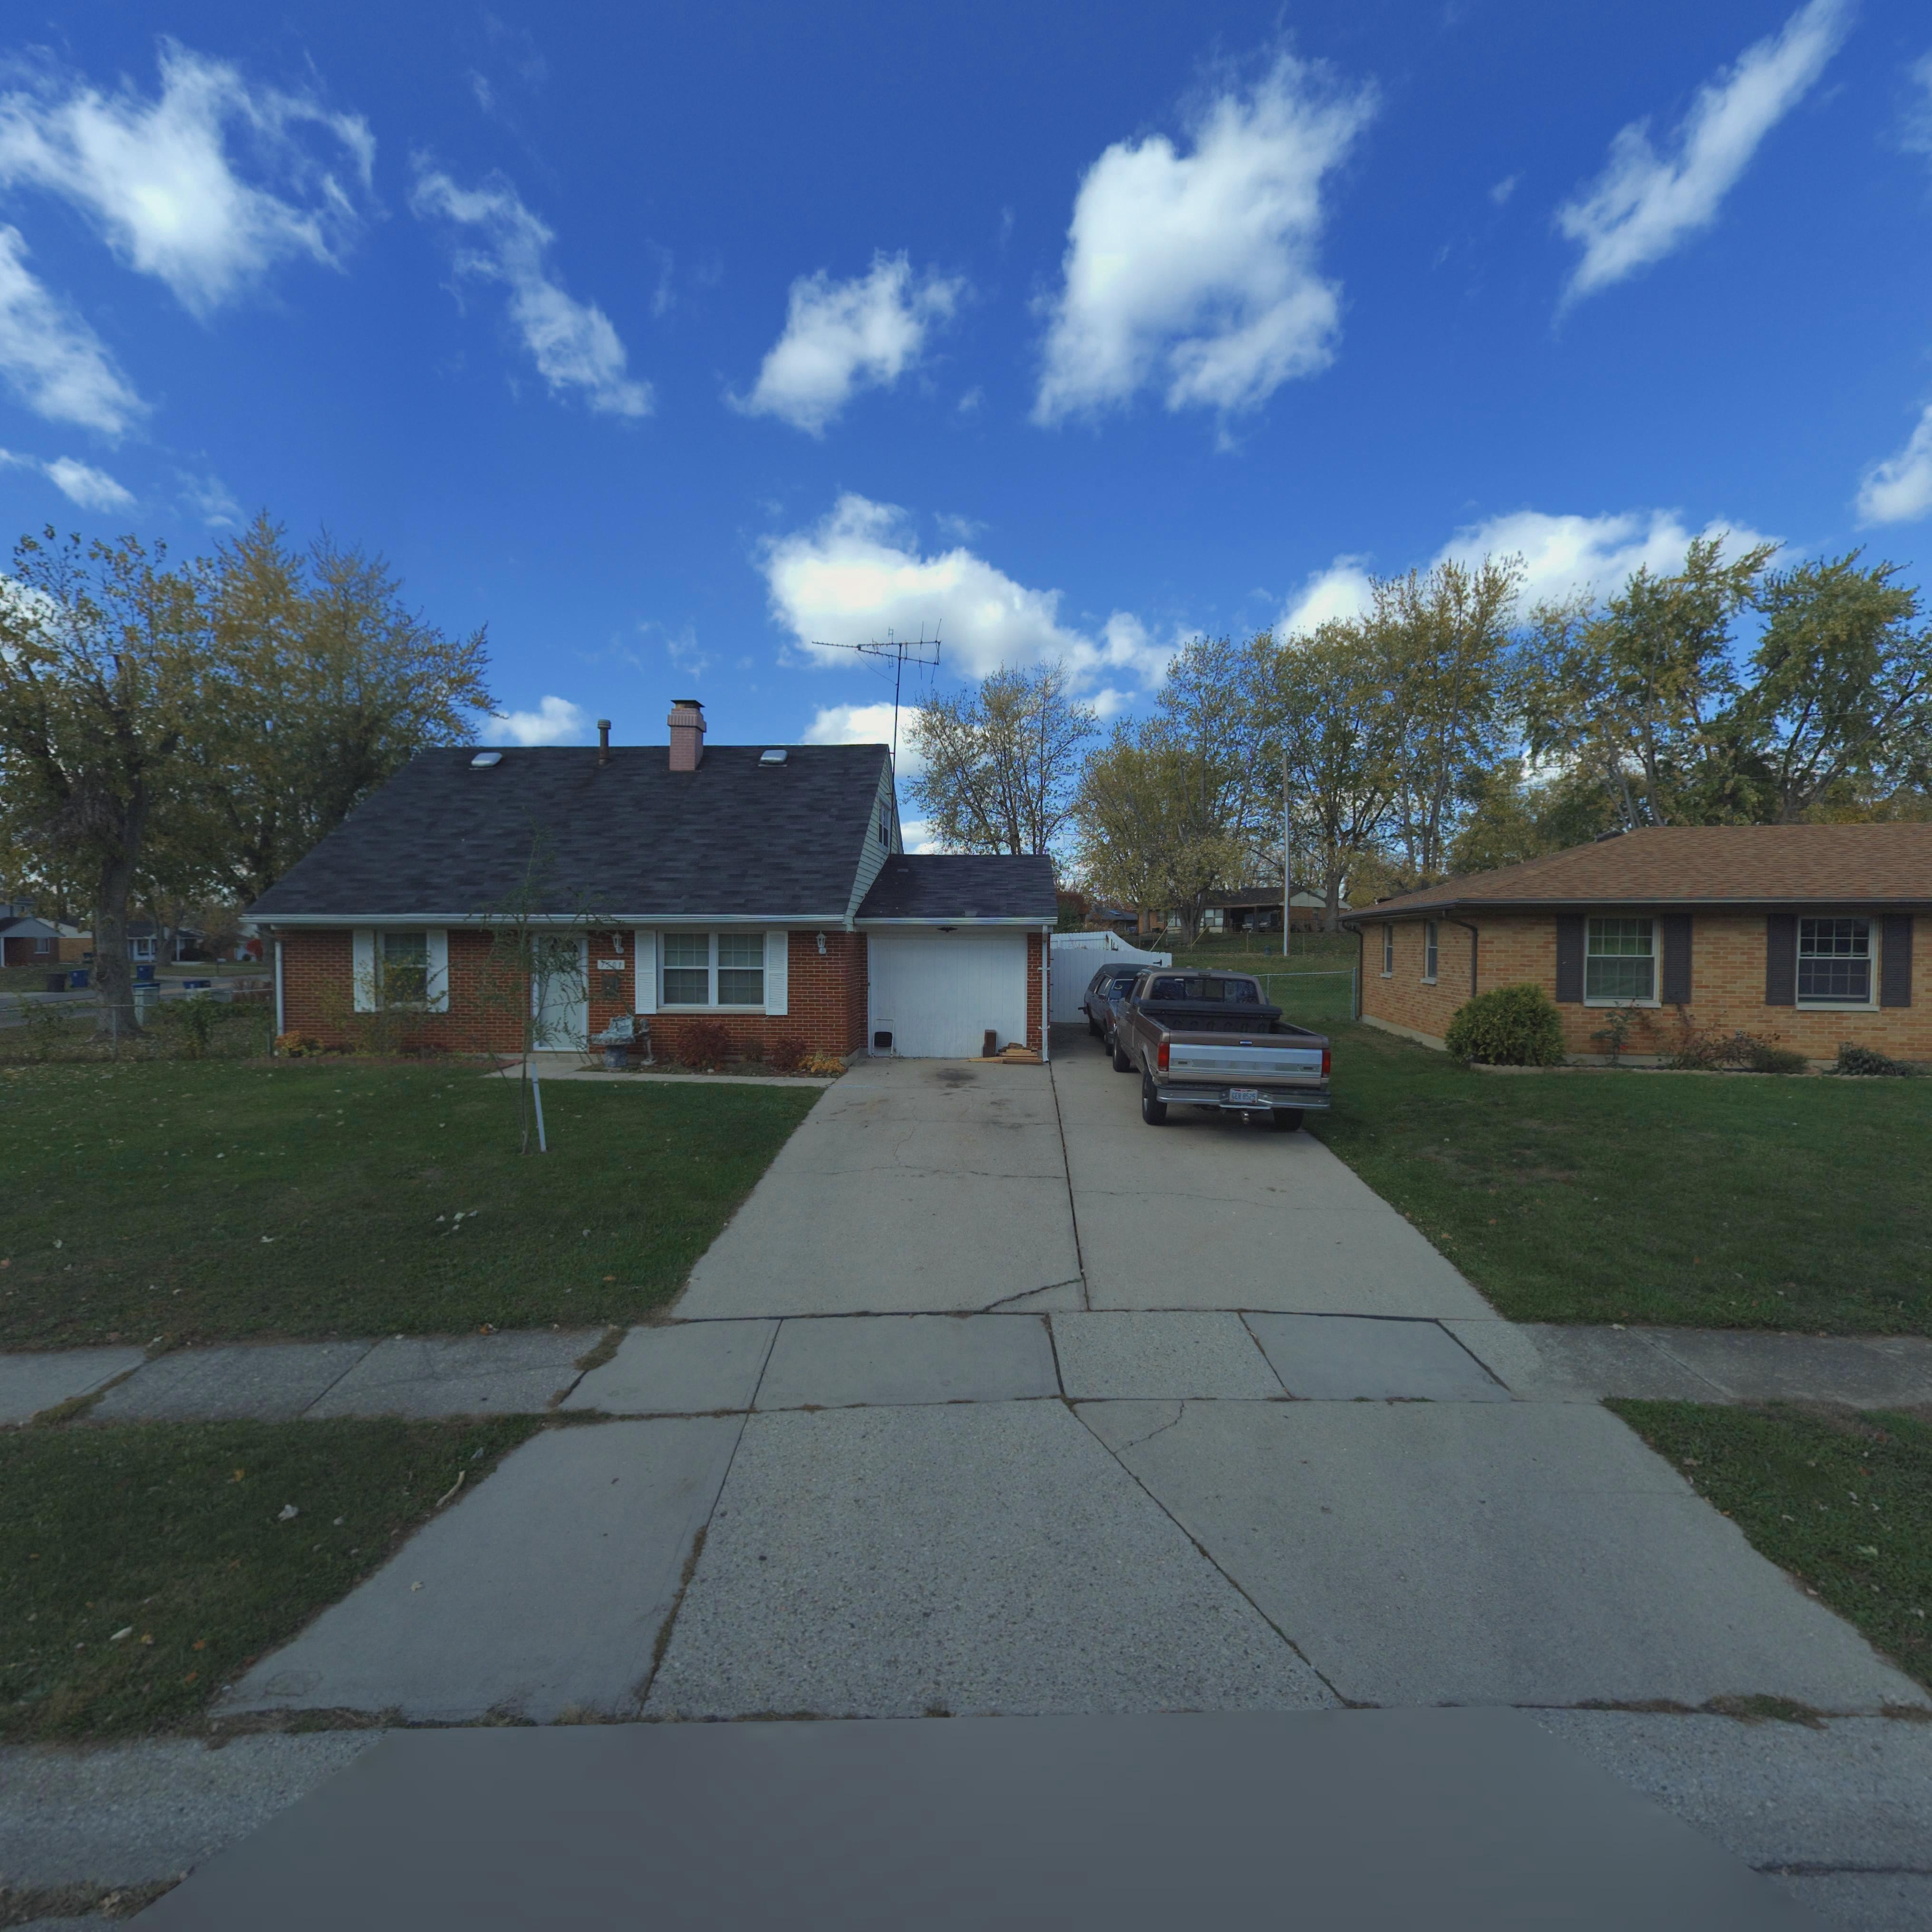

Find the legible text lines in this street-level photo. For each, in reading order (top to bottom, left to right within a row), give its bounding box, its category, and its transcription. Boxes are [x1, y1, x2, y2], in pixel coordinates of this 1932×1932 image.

[600, 961, 622, 969] StreetNumber: 7501